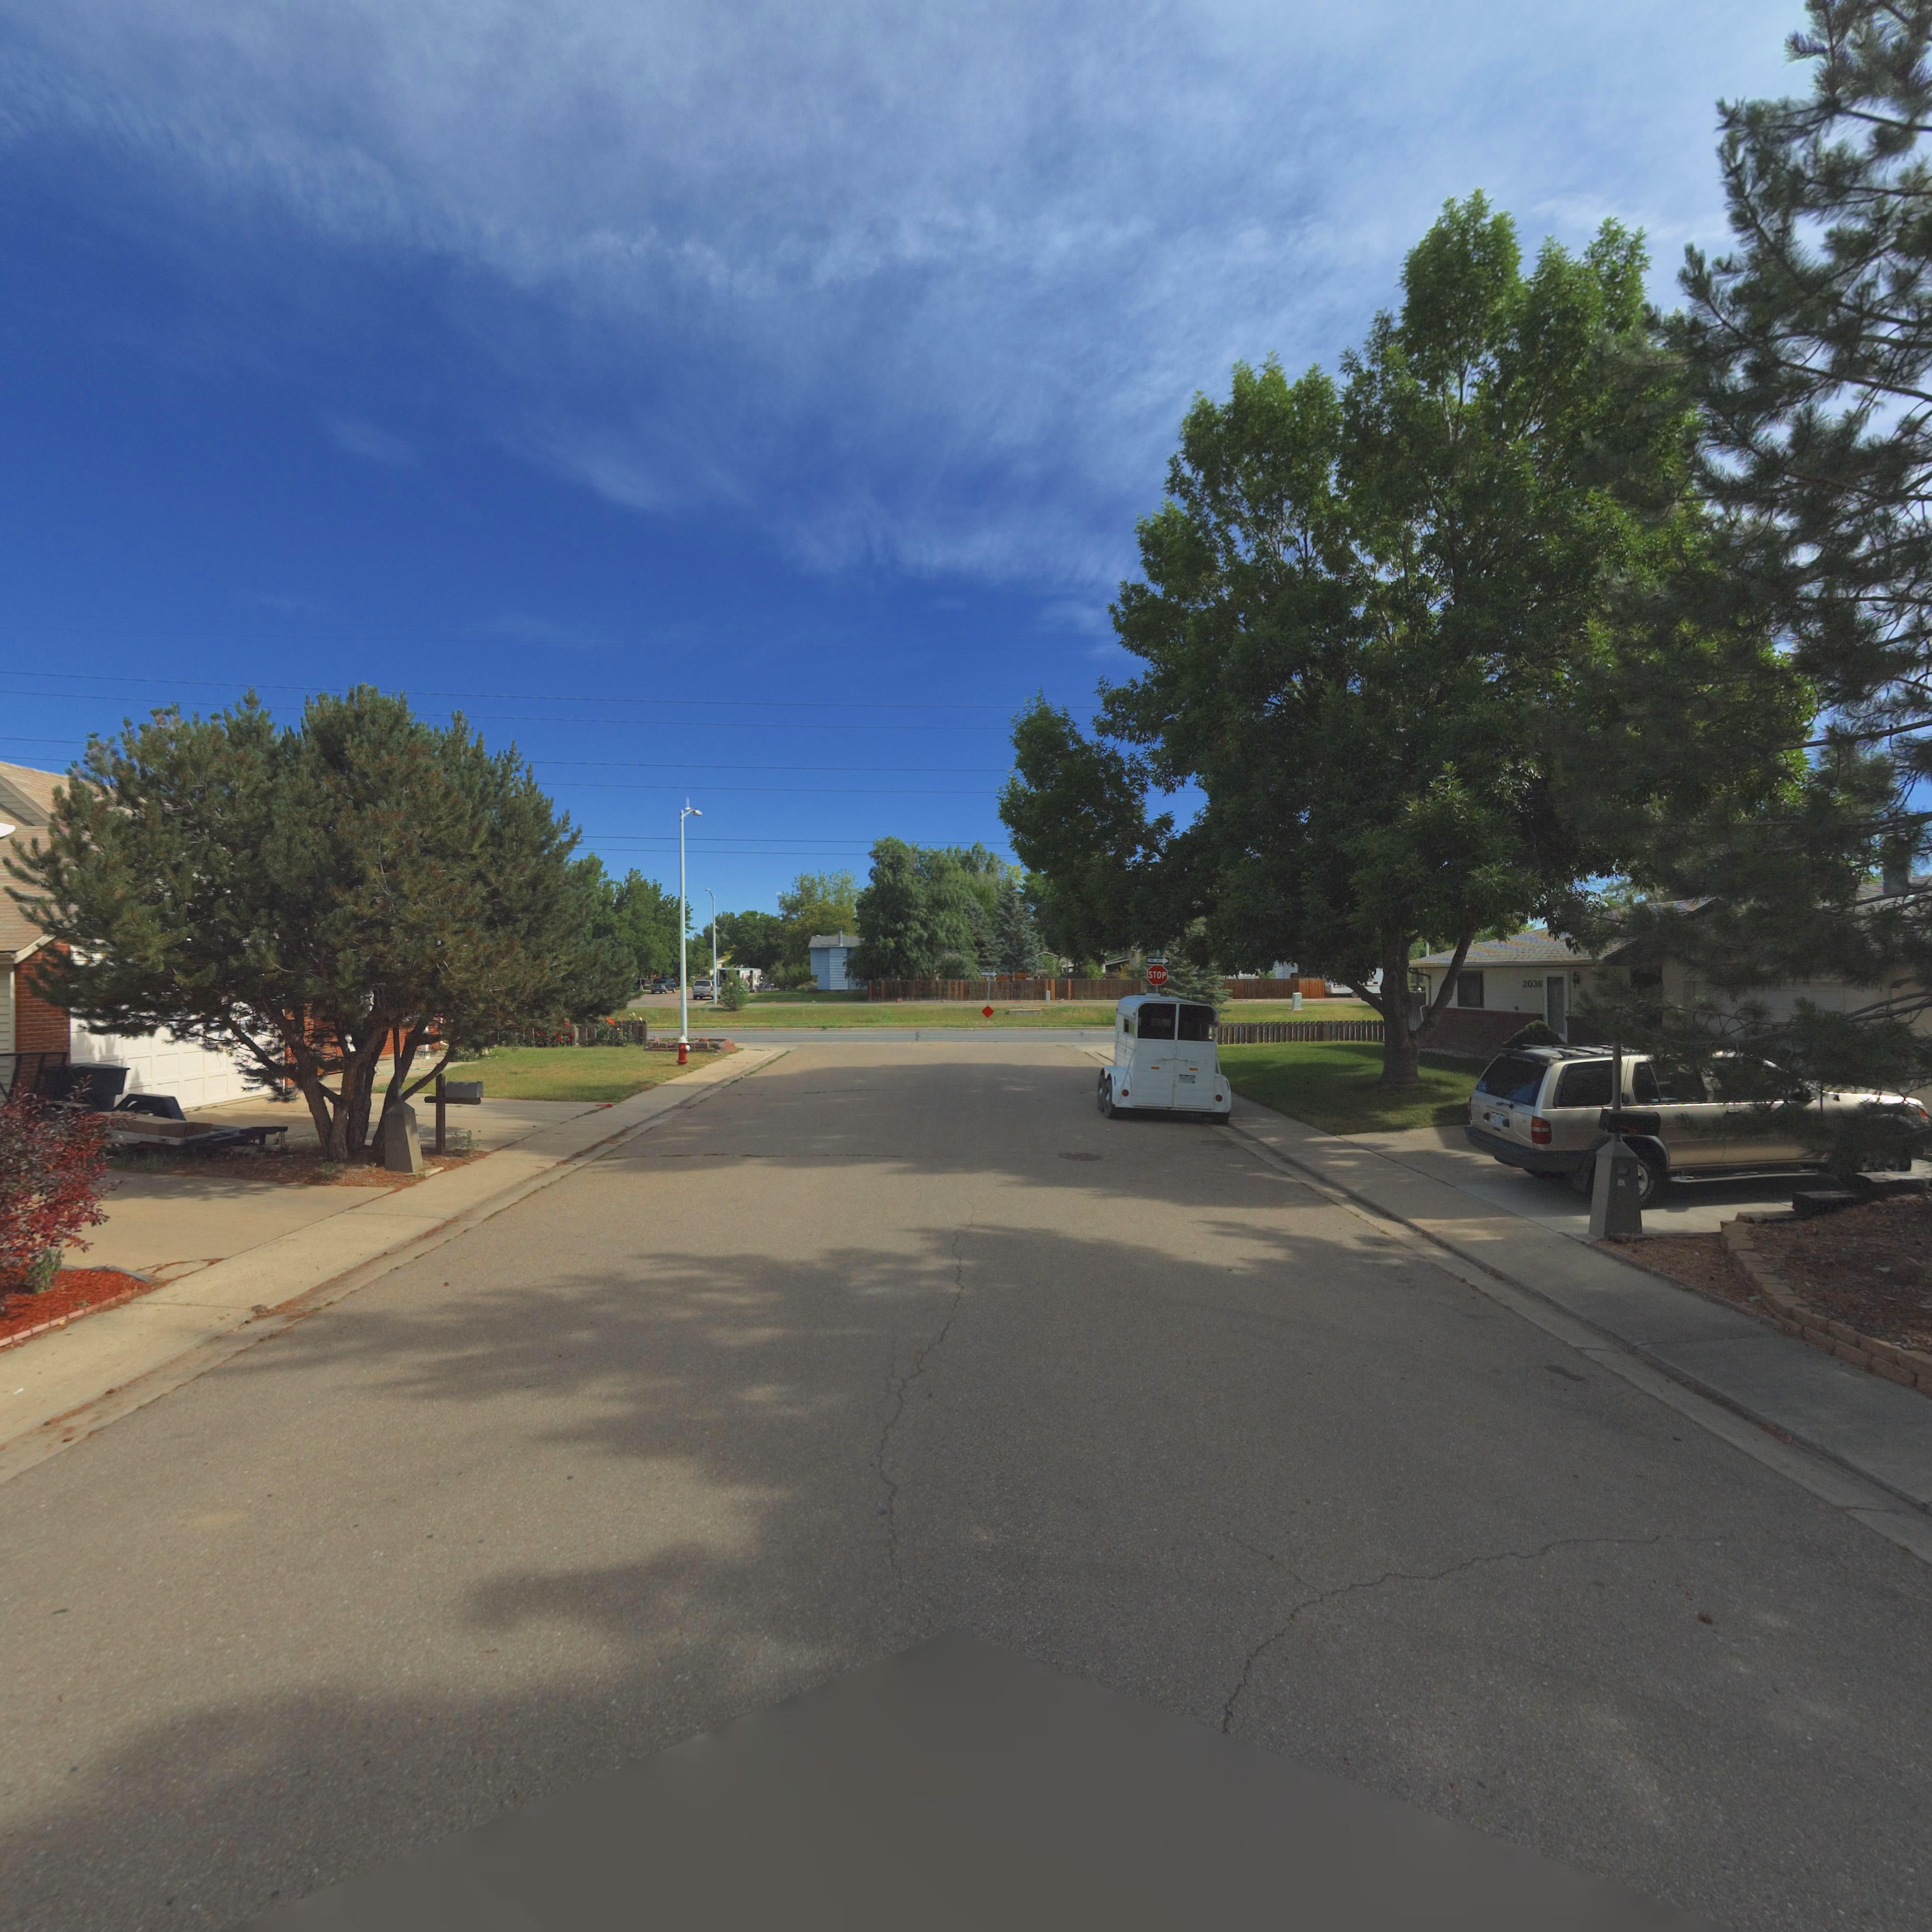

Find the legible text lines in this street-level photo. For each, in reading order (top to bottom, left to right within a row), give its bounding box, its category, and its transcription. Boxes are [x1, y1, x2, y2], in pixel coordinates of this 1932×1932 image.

[1522, 979, 1543, 987] StreetNumber: 2036